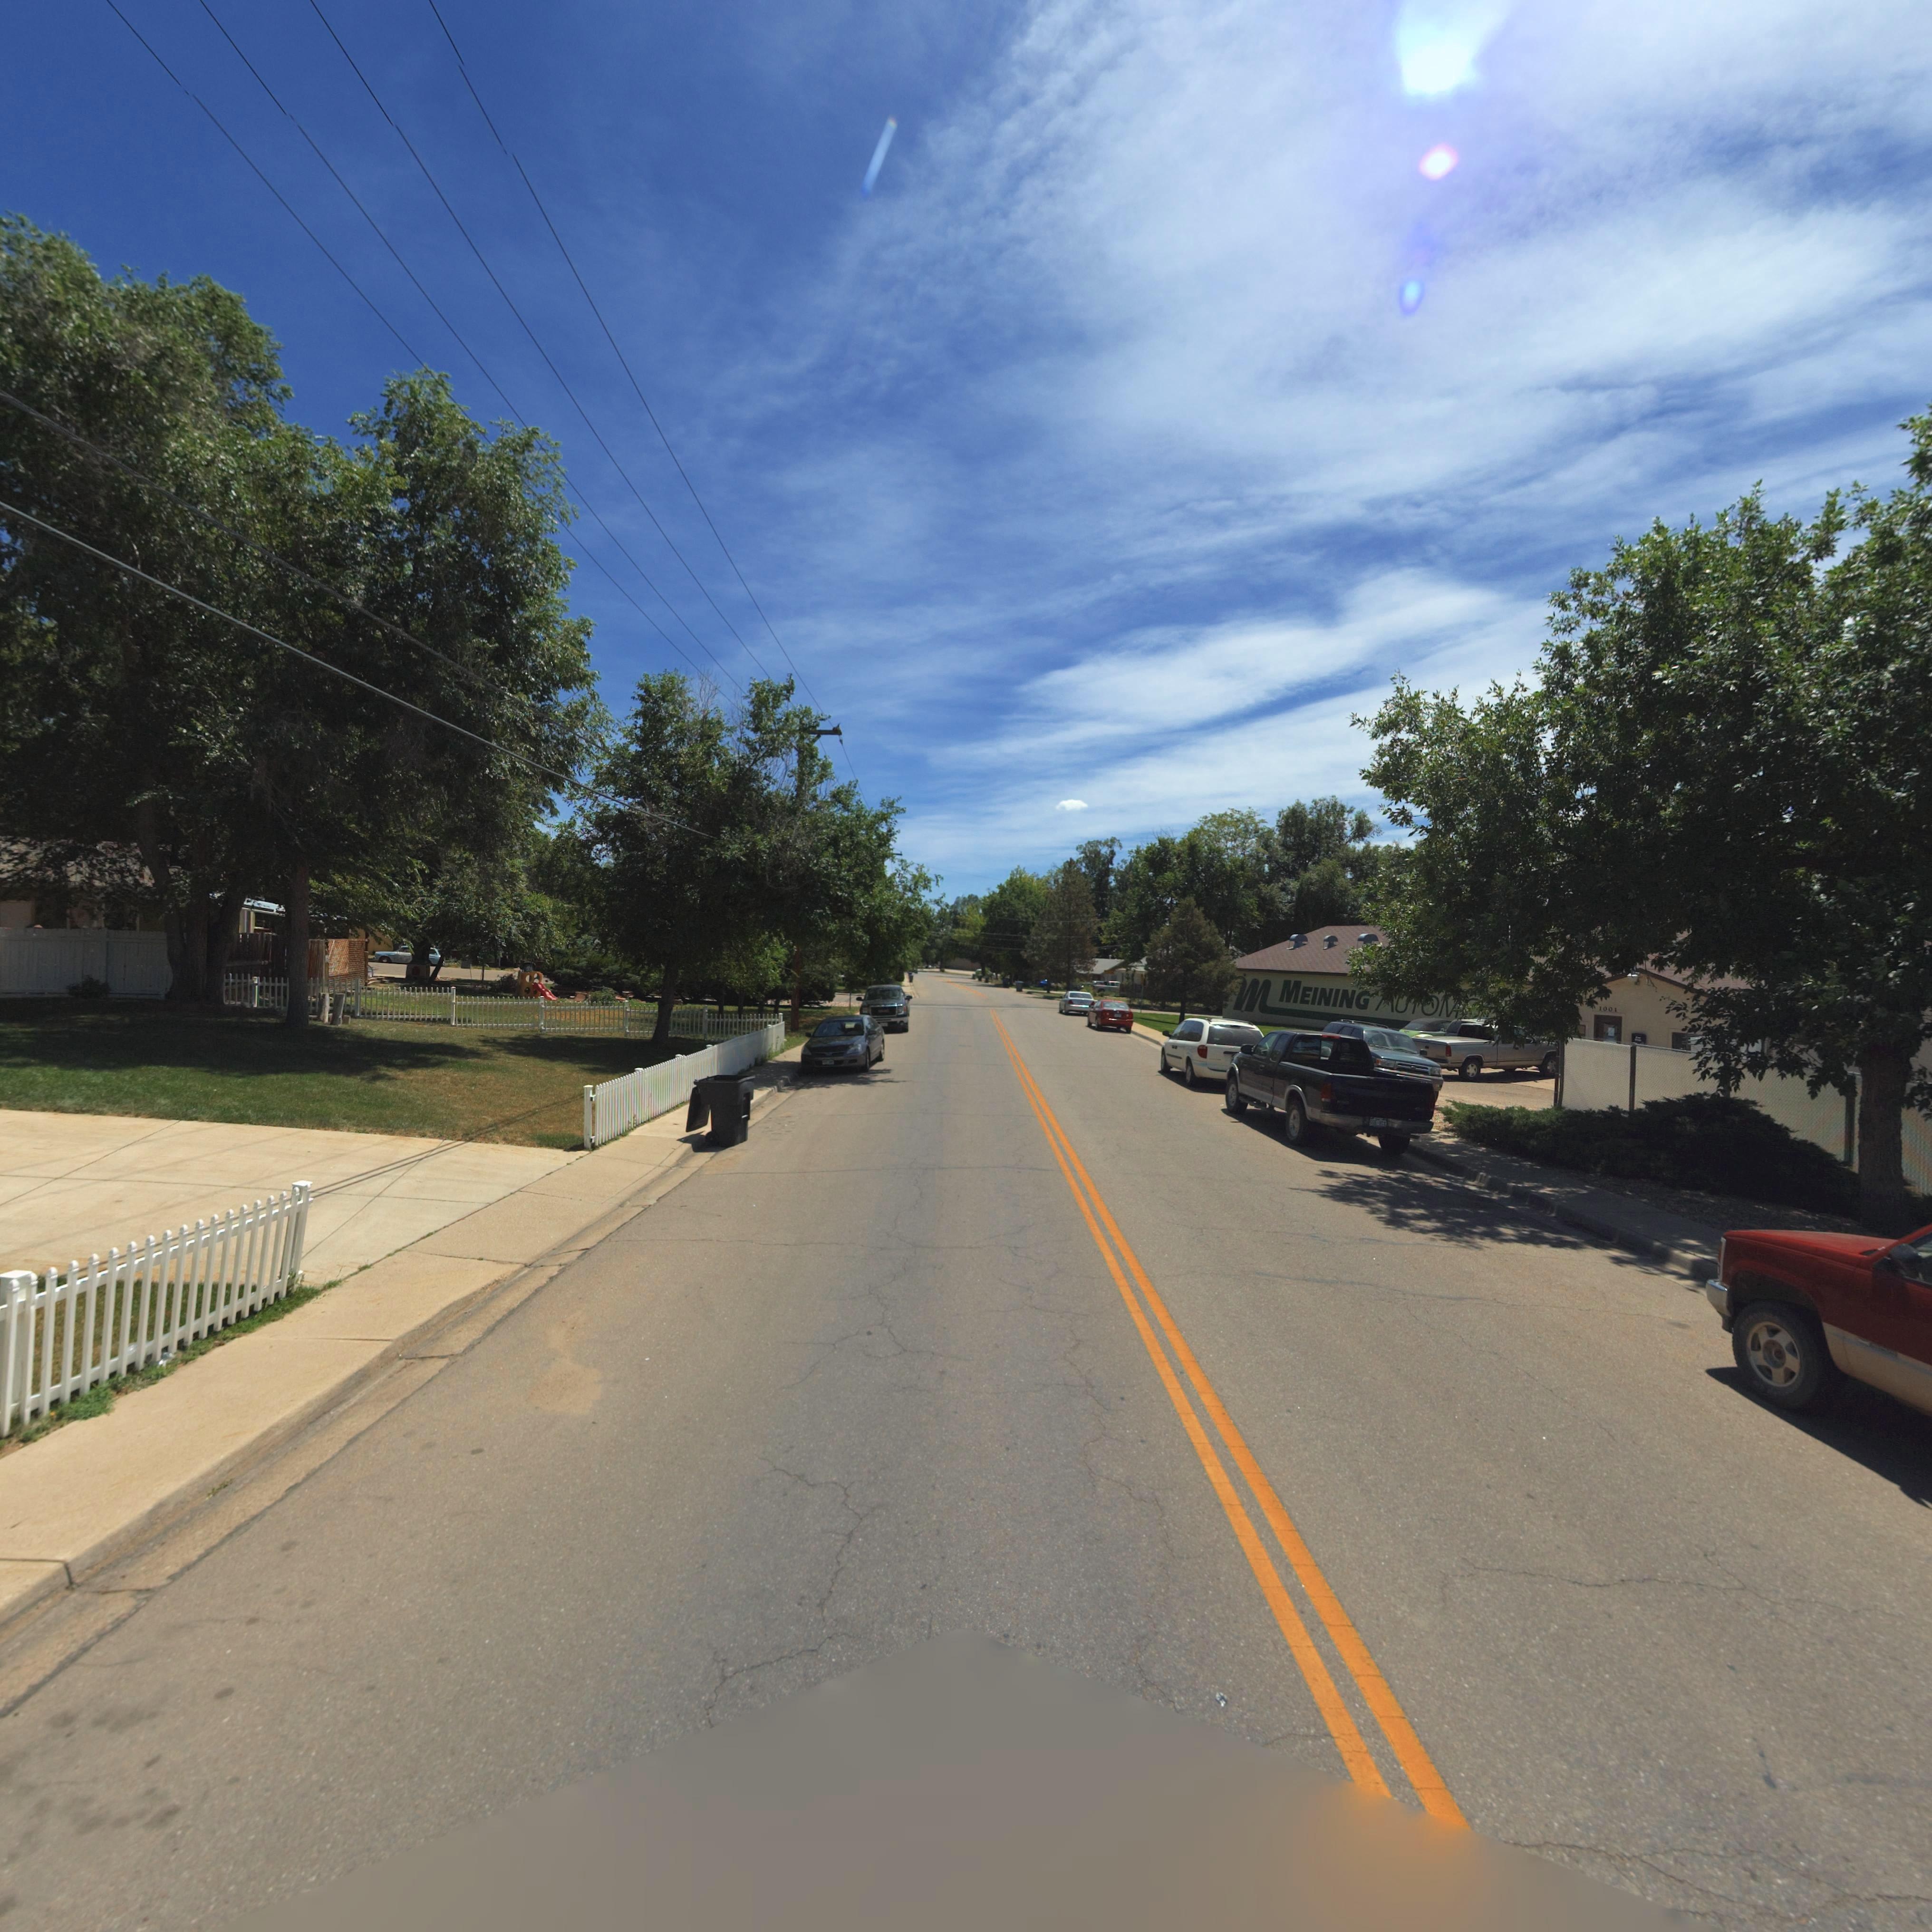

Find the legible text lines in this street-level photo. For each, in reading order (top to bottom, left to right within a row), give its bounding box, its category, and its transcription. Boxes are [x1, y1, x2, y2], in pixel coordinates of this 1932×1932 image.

[1277, 978, 1371, 1011] BusinessName: MEINING
[1598, 1005, 1617, 1012] StreetNumber: 1001